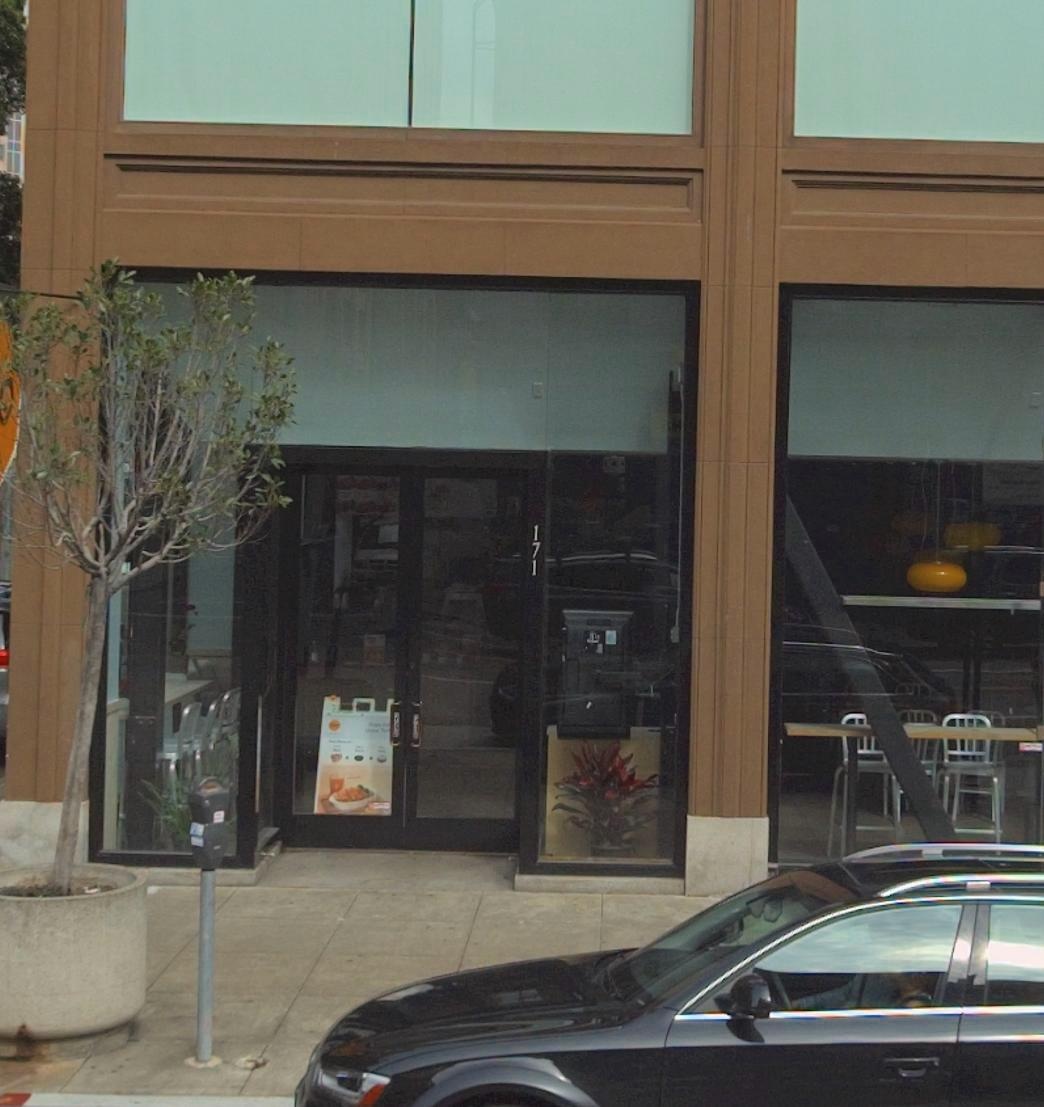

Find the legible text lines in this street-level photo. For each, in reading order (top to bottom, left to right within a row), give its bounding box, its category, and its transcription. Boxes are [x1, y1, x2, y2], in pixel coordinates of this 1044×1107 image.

[529, 523, 543, 578] StreetNumber: 171